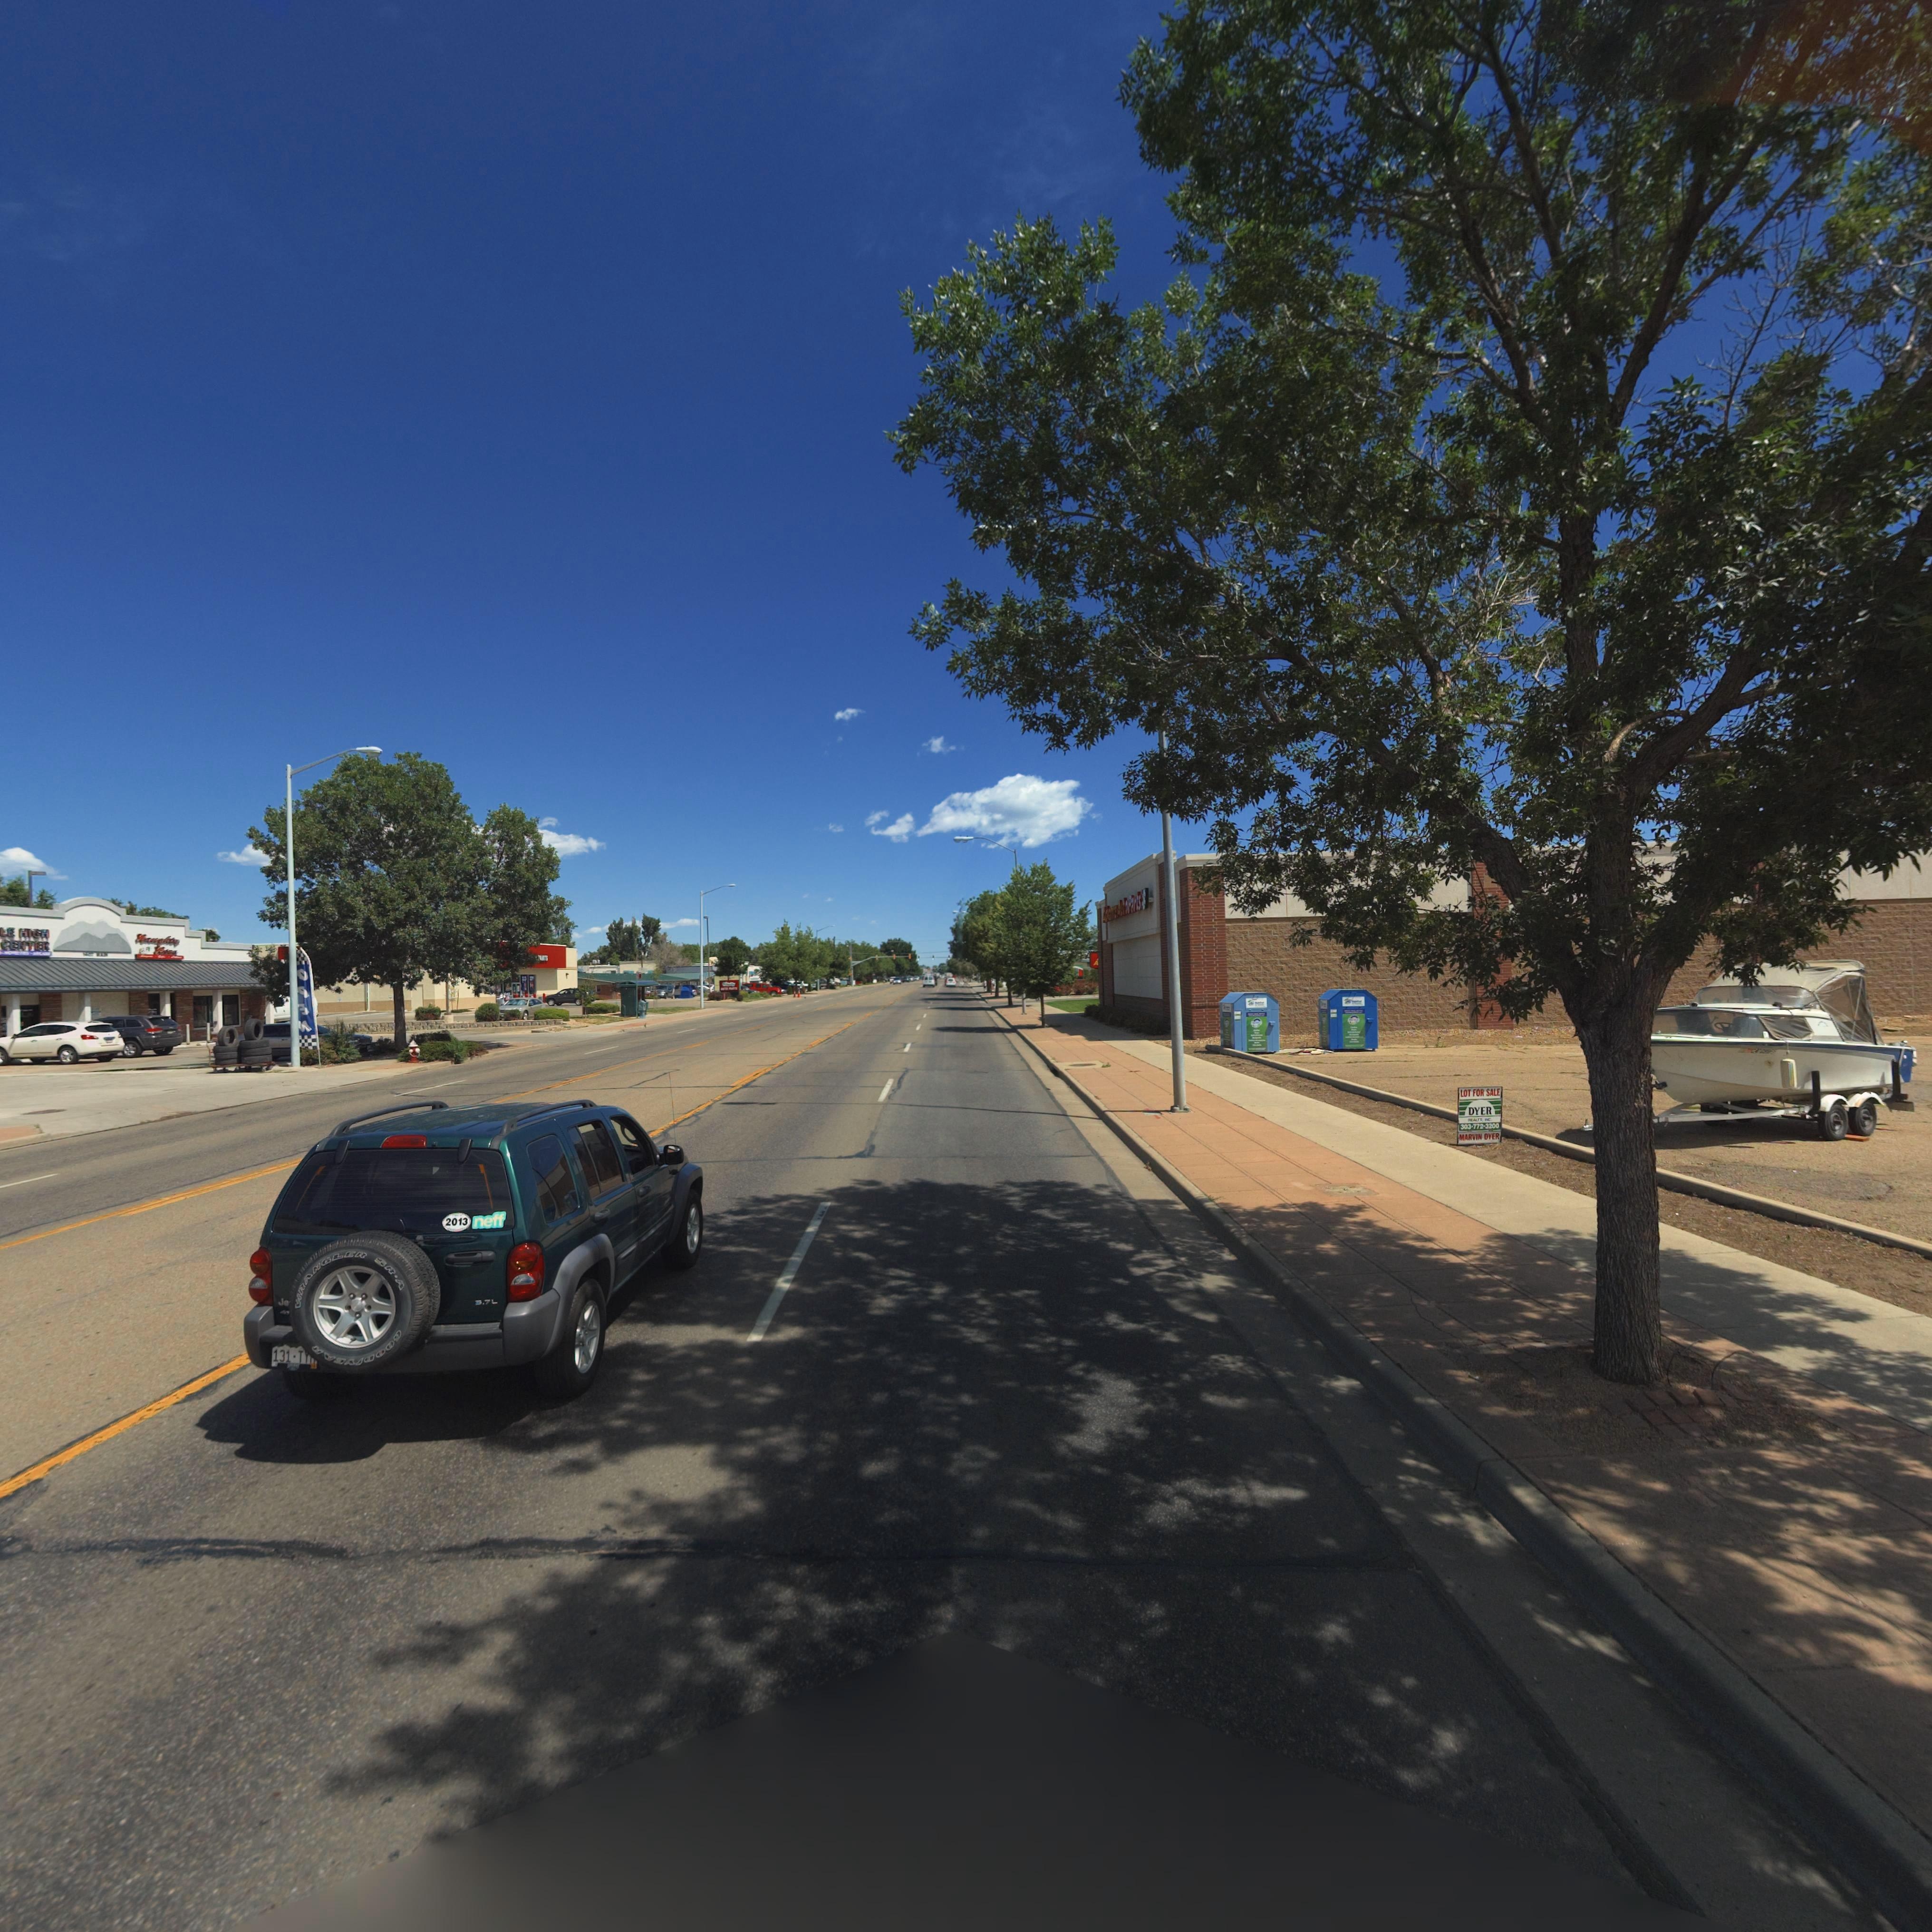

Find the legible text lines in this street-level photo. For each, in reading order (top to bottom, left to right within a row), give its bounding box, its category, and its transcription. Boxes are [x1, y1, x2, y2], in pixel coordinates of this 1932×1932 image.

[1102, 890, 1142, 924] BusinessName: ******* A**oParts
[7, 927, 49, 939] BusinessName: E HIGH
[0, 938, 50, 951] BusinessName: CENTER
[134, 932, 180, 947] BusinessName: *a*g**y
[153, 946, 178, 955] BusinessName: **c*
[537, 954, 549, 961] BusinessName: P**TS